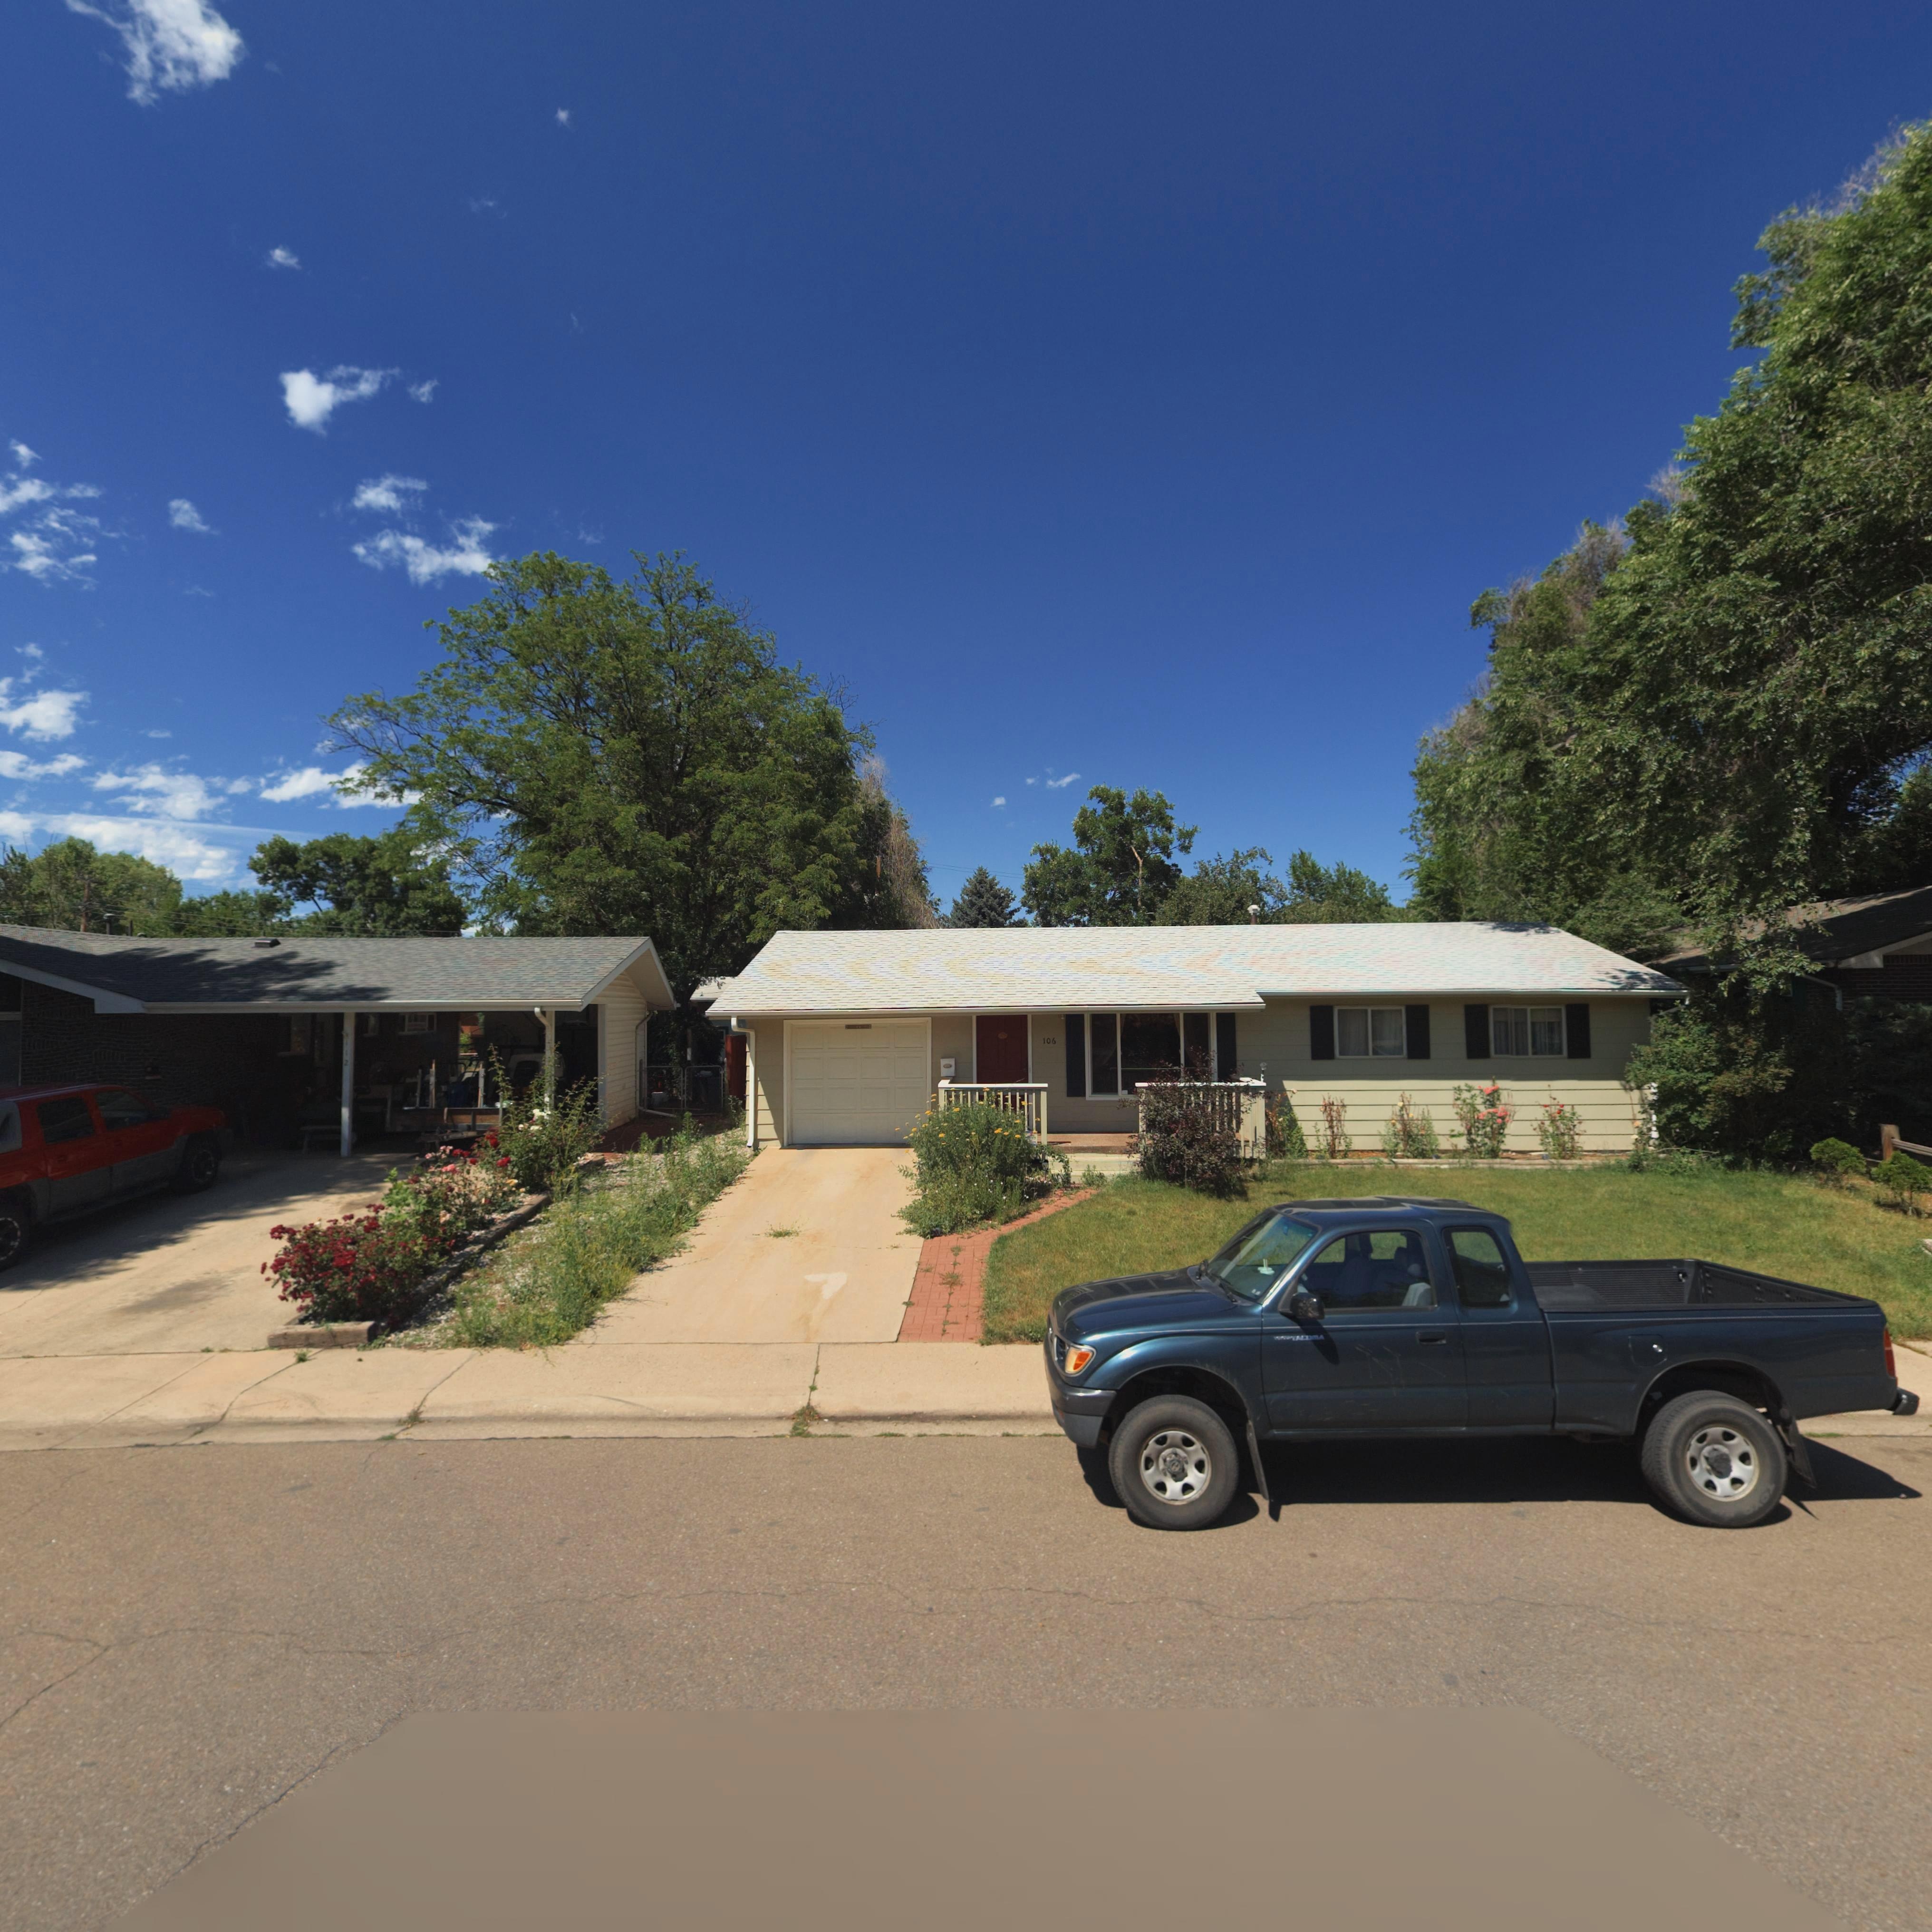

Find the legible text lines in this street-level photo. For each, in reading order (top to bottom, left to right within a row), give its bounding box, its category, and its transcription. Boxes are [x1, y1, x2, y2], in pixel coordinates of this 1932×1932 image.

[343, 1039, 349, 1066] StreetNumber: 112
[1043, 1036, 1056, 1045] StreetNumber: 106